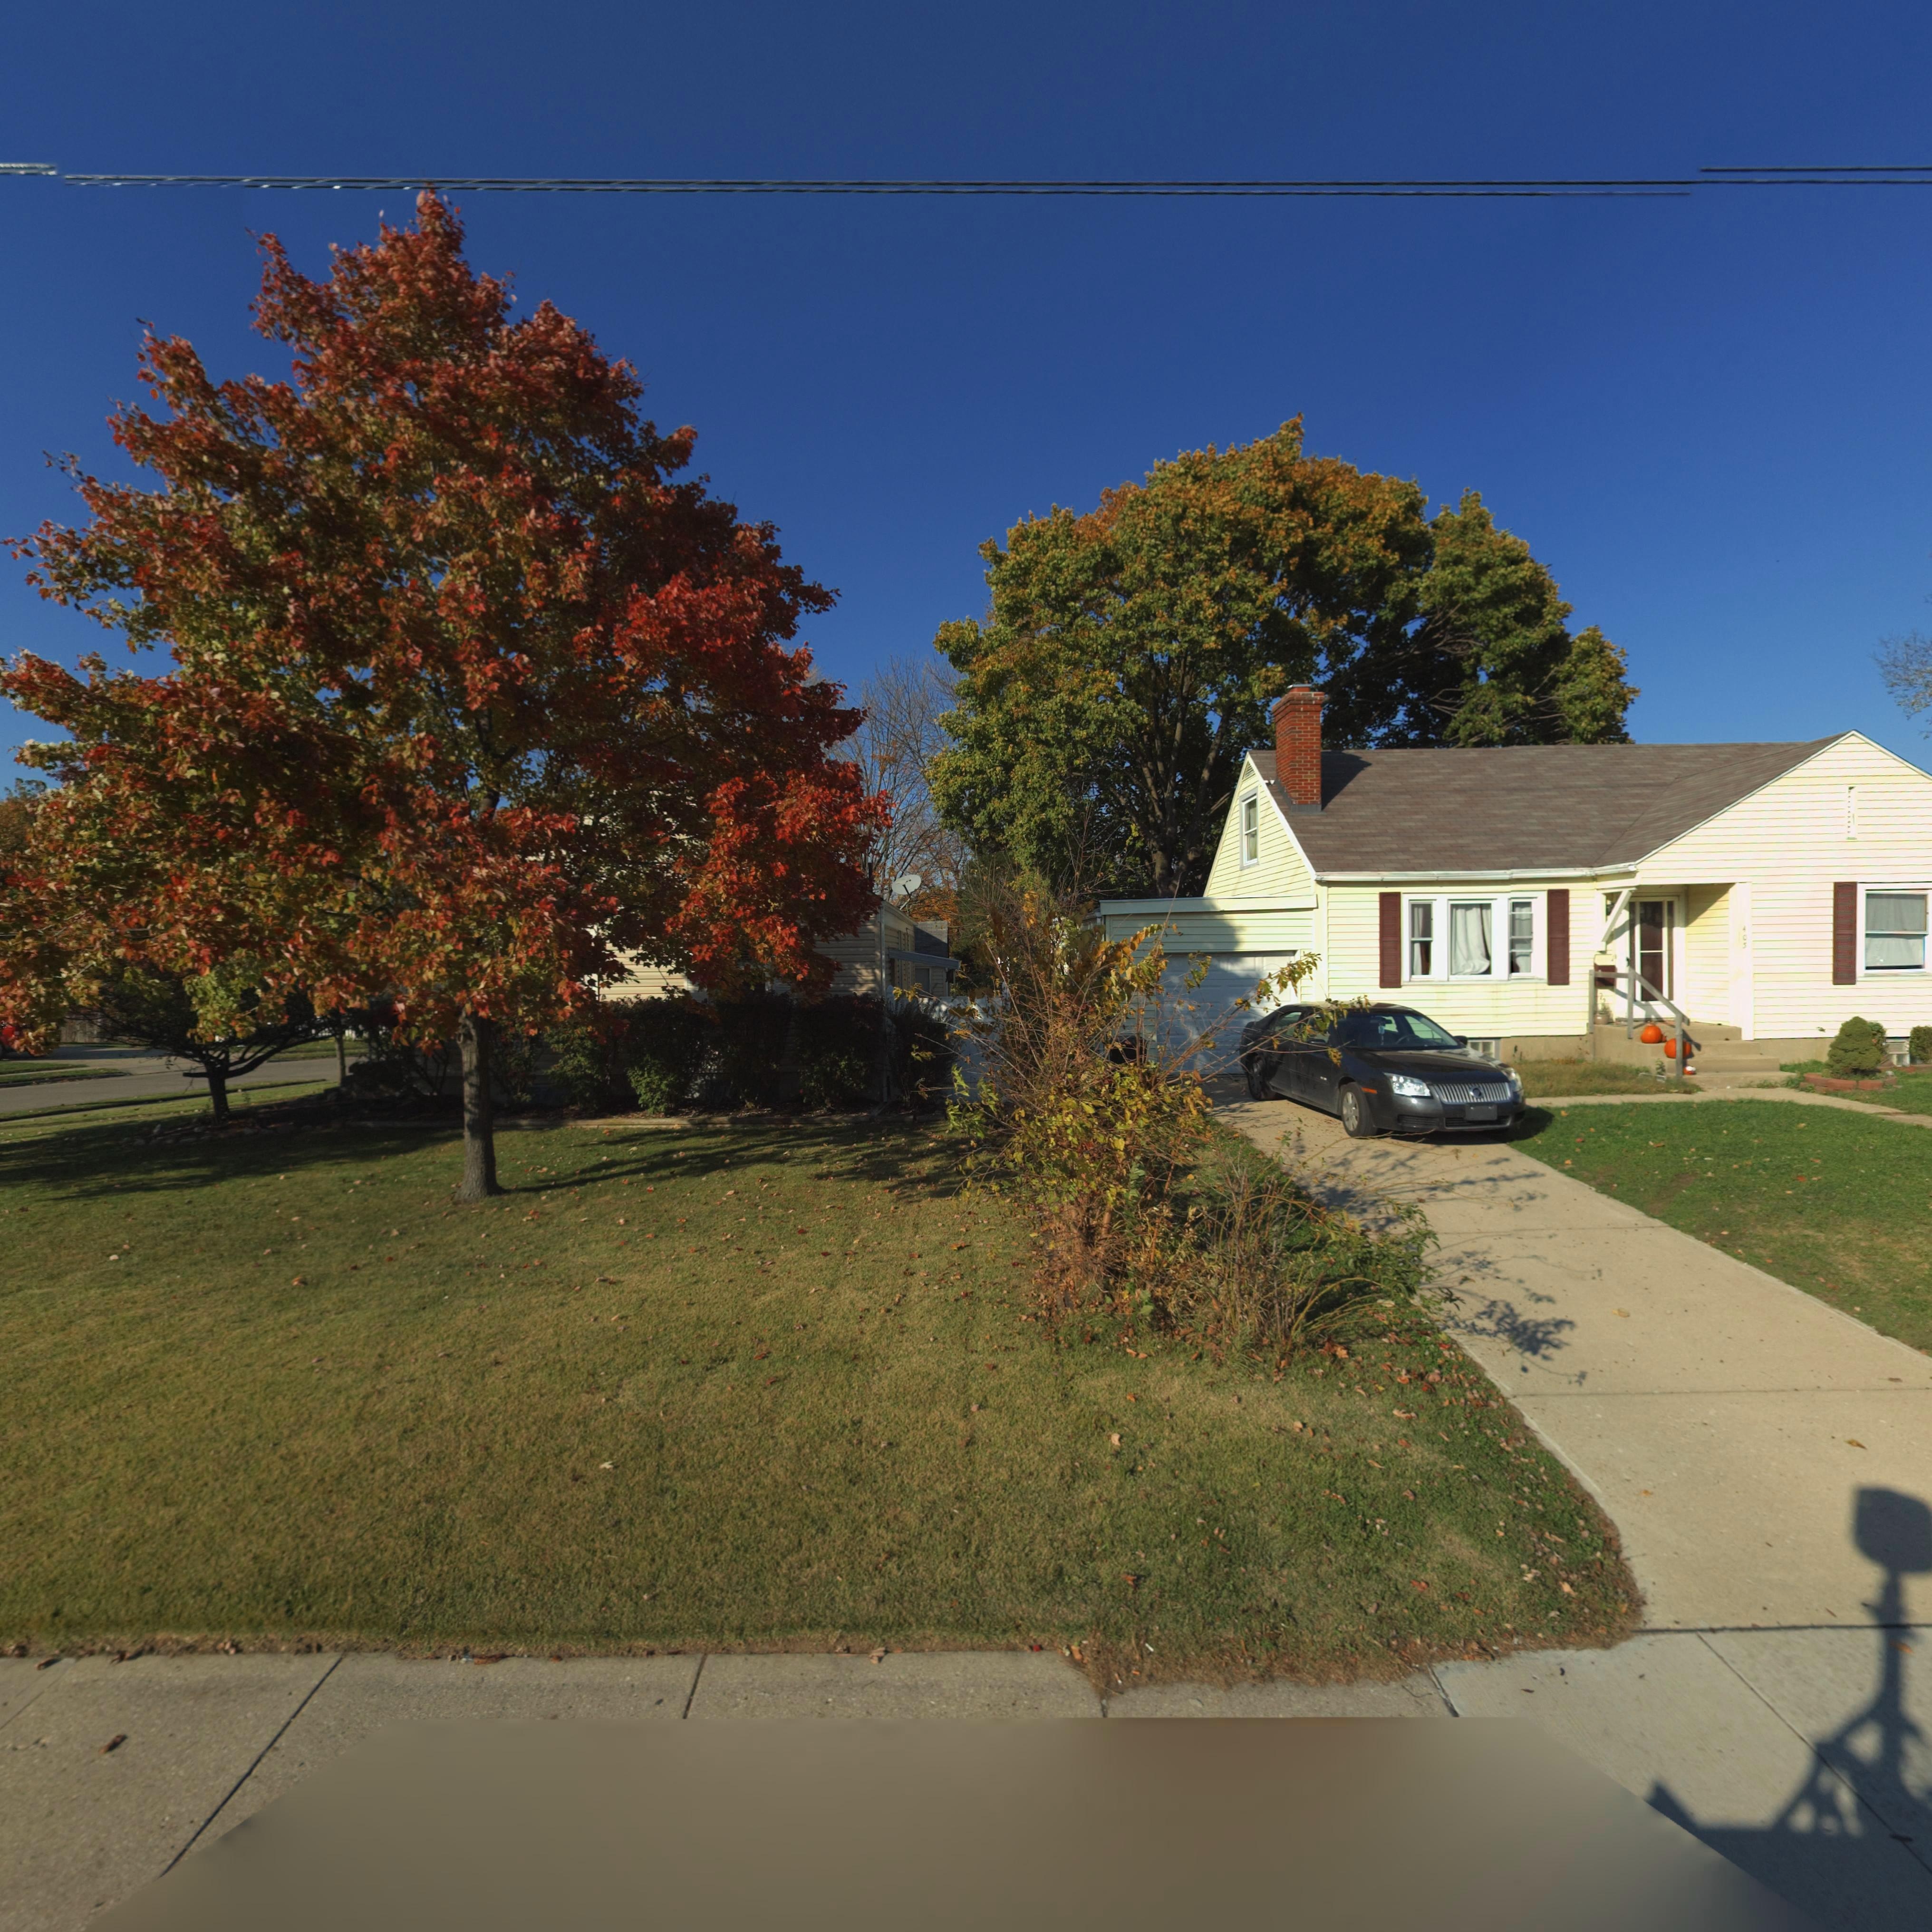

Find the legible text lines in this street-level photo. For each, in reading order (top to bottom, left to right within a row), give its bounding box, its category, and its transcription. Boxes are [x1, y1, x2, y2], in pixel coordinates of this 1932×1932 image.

[1741, 925, 1748, 949] StreetNumber: 405